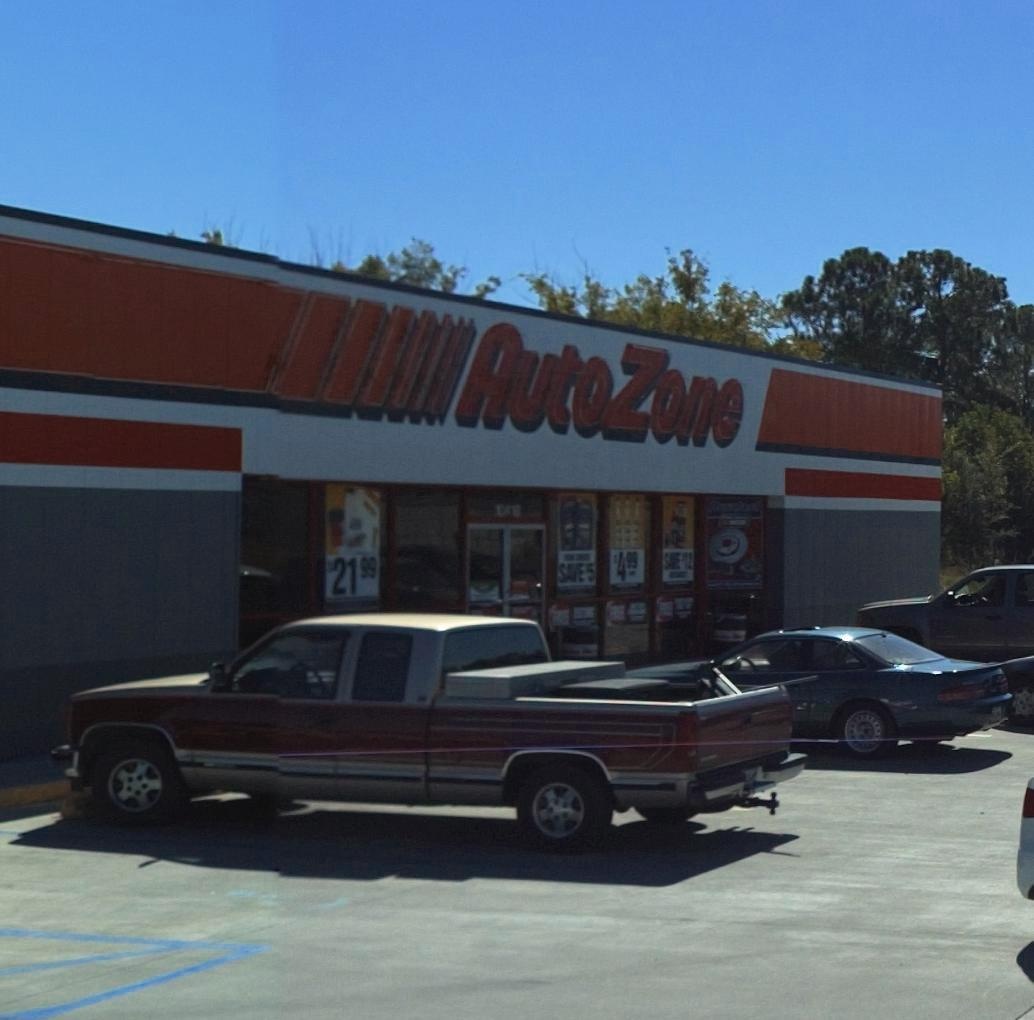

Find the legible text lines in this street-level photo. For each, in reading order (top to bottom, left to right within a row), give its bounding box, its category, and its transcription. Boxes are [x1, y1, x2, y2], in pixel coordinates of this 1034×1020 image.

[446, 313, 748, 453] BusinessName: AutoZone
[327, 553, 379, 598] None: 21 99
[556, 560, 598, 586] None: SAVE 5
[615, 548, 641, 584] None: 4 99